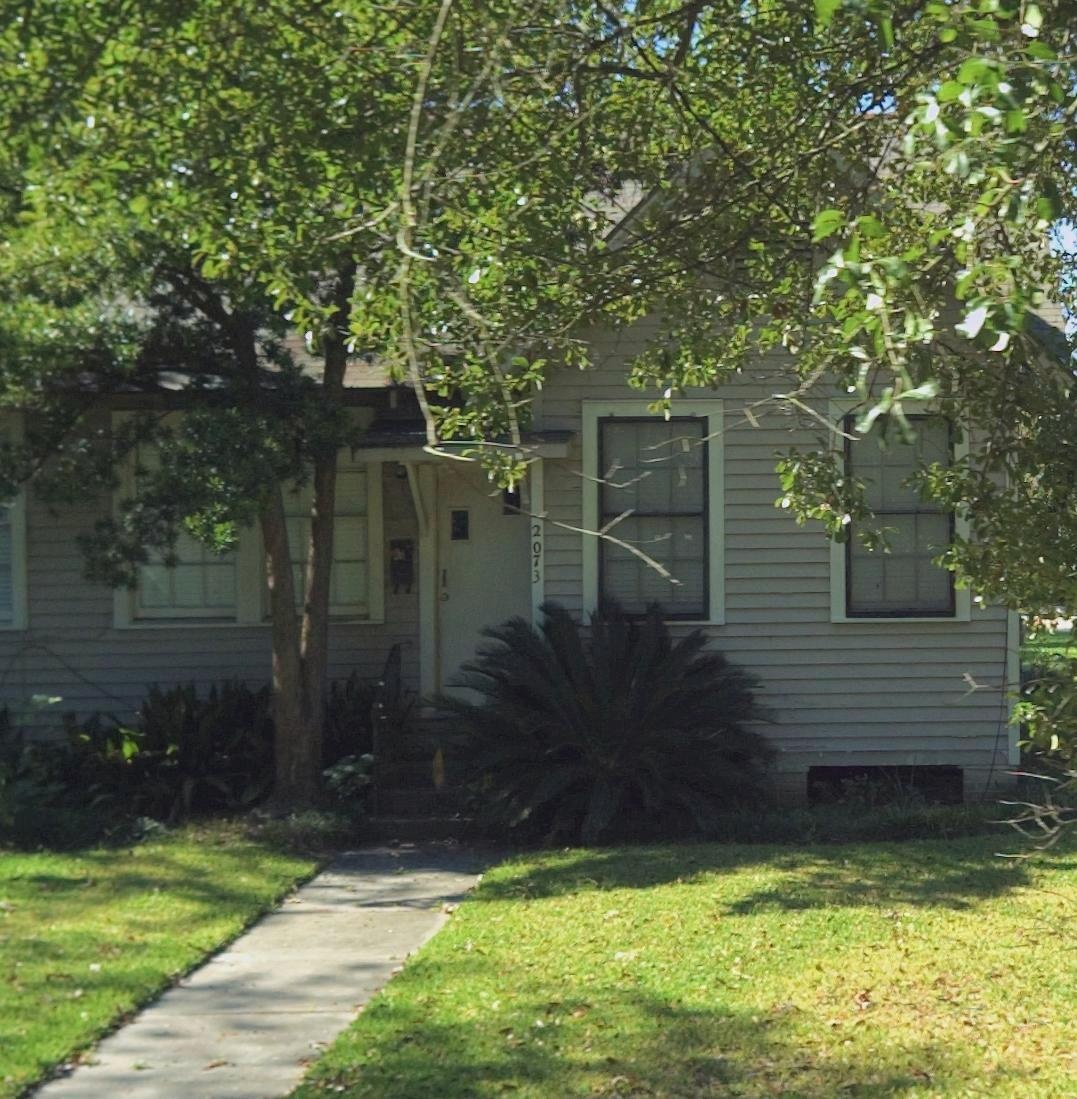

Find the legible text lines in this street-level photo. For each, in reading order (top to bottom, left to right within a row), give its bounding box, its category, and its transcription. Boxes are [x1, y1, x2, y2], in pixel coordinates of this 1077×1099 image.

[531, 523, 543, 586] StreetNumber: 2073